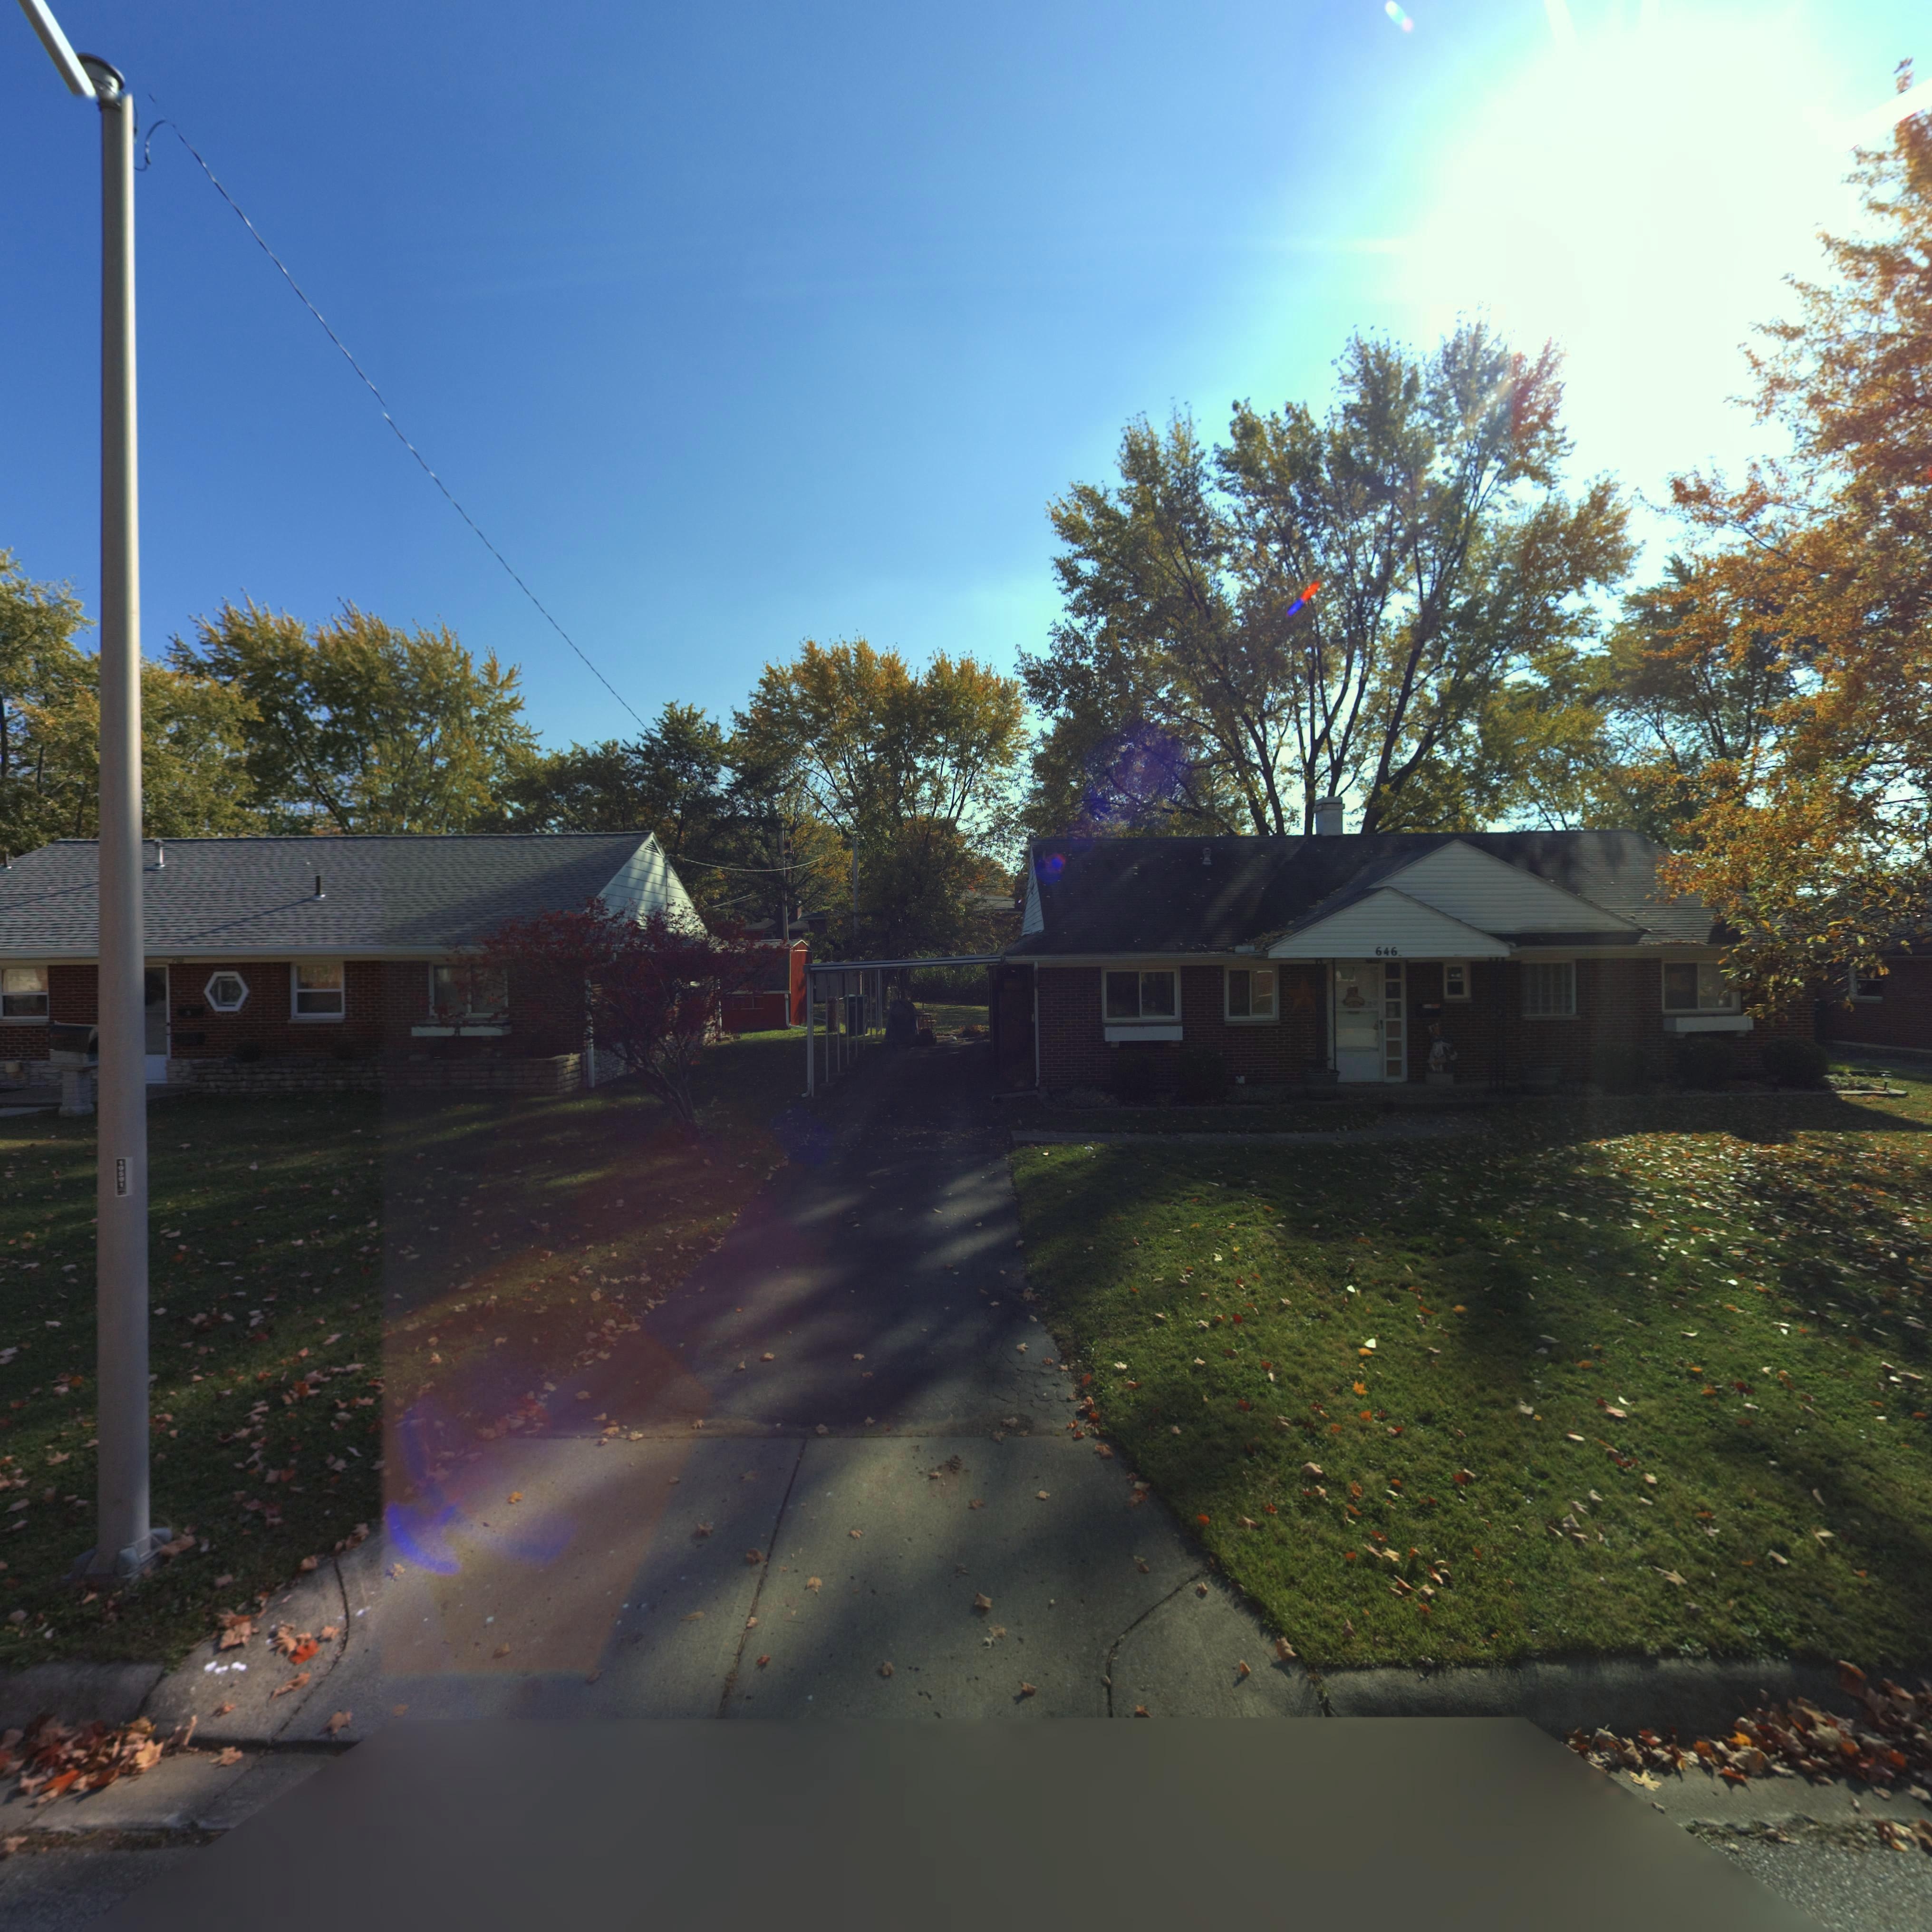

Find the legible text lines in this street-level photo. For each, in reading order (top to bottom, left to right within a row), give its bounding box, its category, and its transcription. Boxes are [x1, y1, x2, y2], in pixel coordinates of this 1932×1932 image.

[1374, 946, 1398, 957] StreetNumber: 646